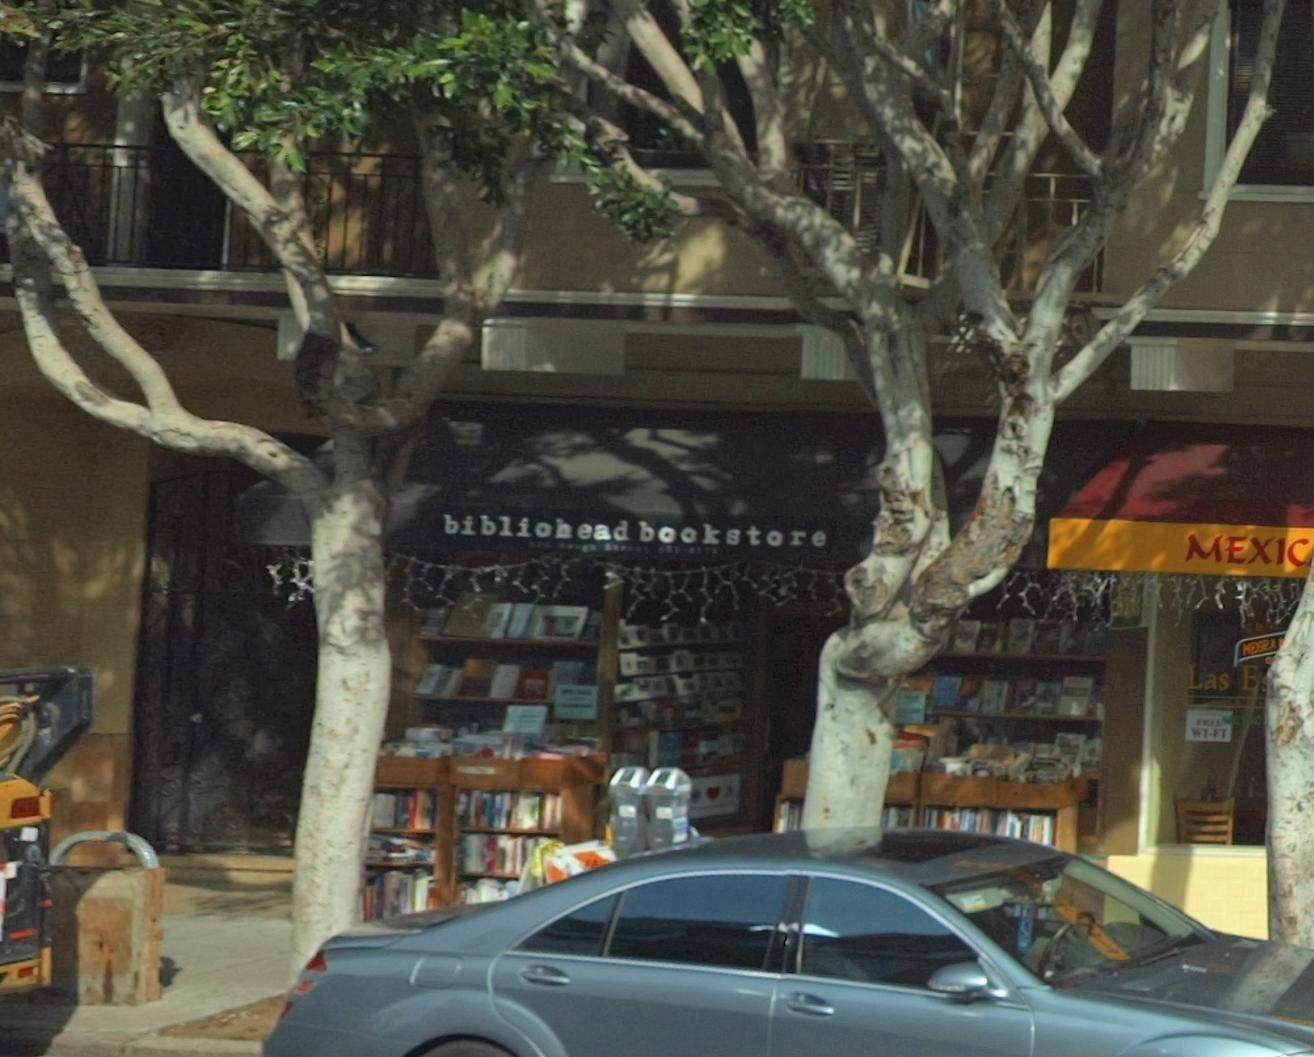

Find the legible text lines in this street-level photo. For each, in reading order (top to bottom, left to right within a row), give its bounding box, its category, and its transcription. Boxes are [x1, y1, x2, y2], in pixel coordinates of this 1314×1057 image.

[438, 509, 833, 552] BusinessName: bibliohead bookstore
[1182, 533, 1312, 570] None: MEXIC
[1240, 640, 1255, 659] None: N
[1183, 660, 1261, 696] BusinessName: Las E
[1188, 724, 1229, 742] None: WI-FI